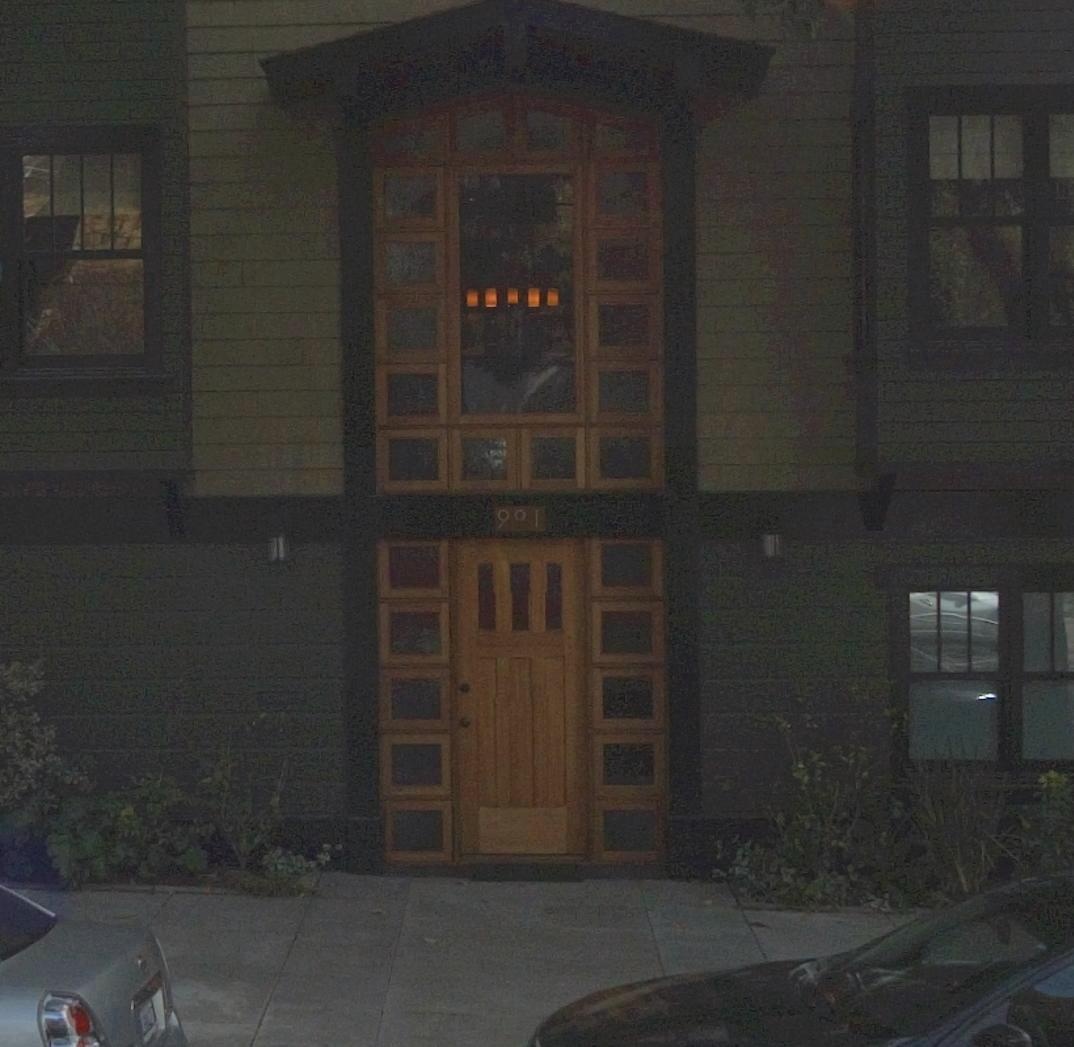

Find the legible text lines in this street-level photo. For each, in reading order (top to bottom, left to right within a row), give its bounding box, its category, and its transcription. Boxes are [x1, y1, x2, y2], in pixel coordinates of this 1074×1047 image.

[496, 508, 541, 530] StreetNumber: 901